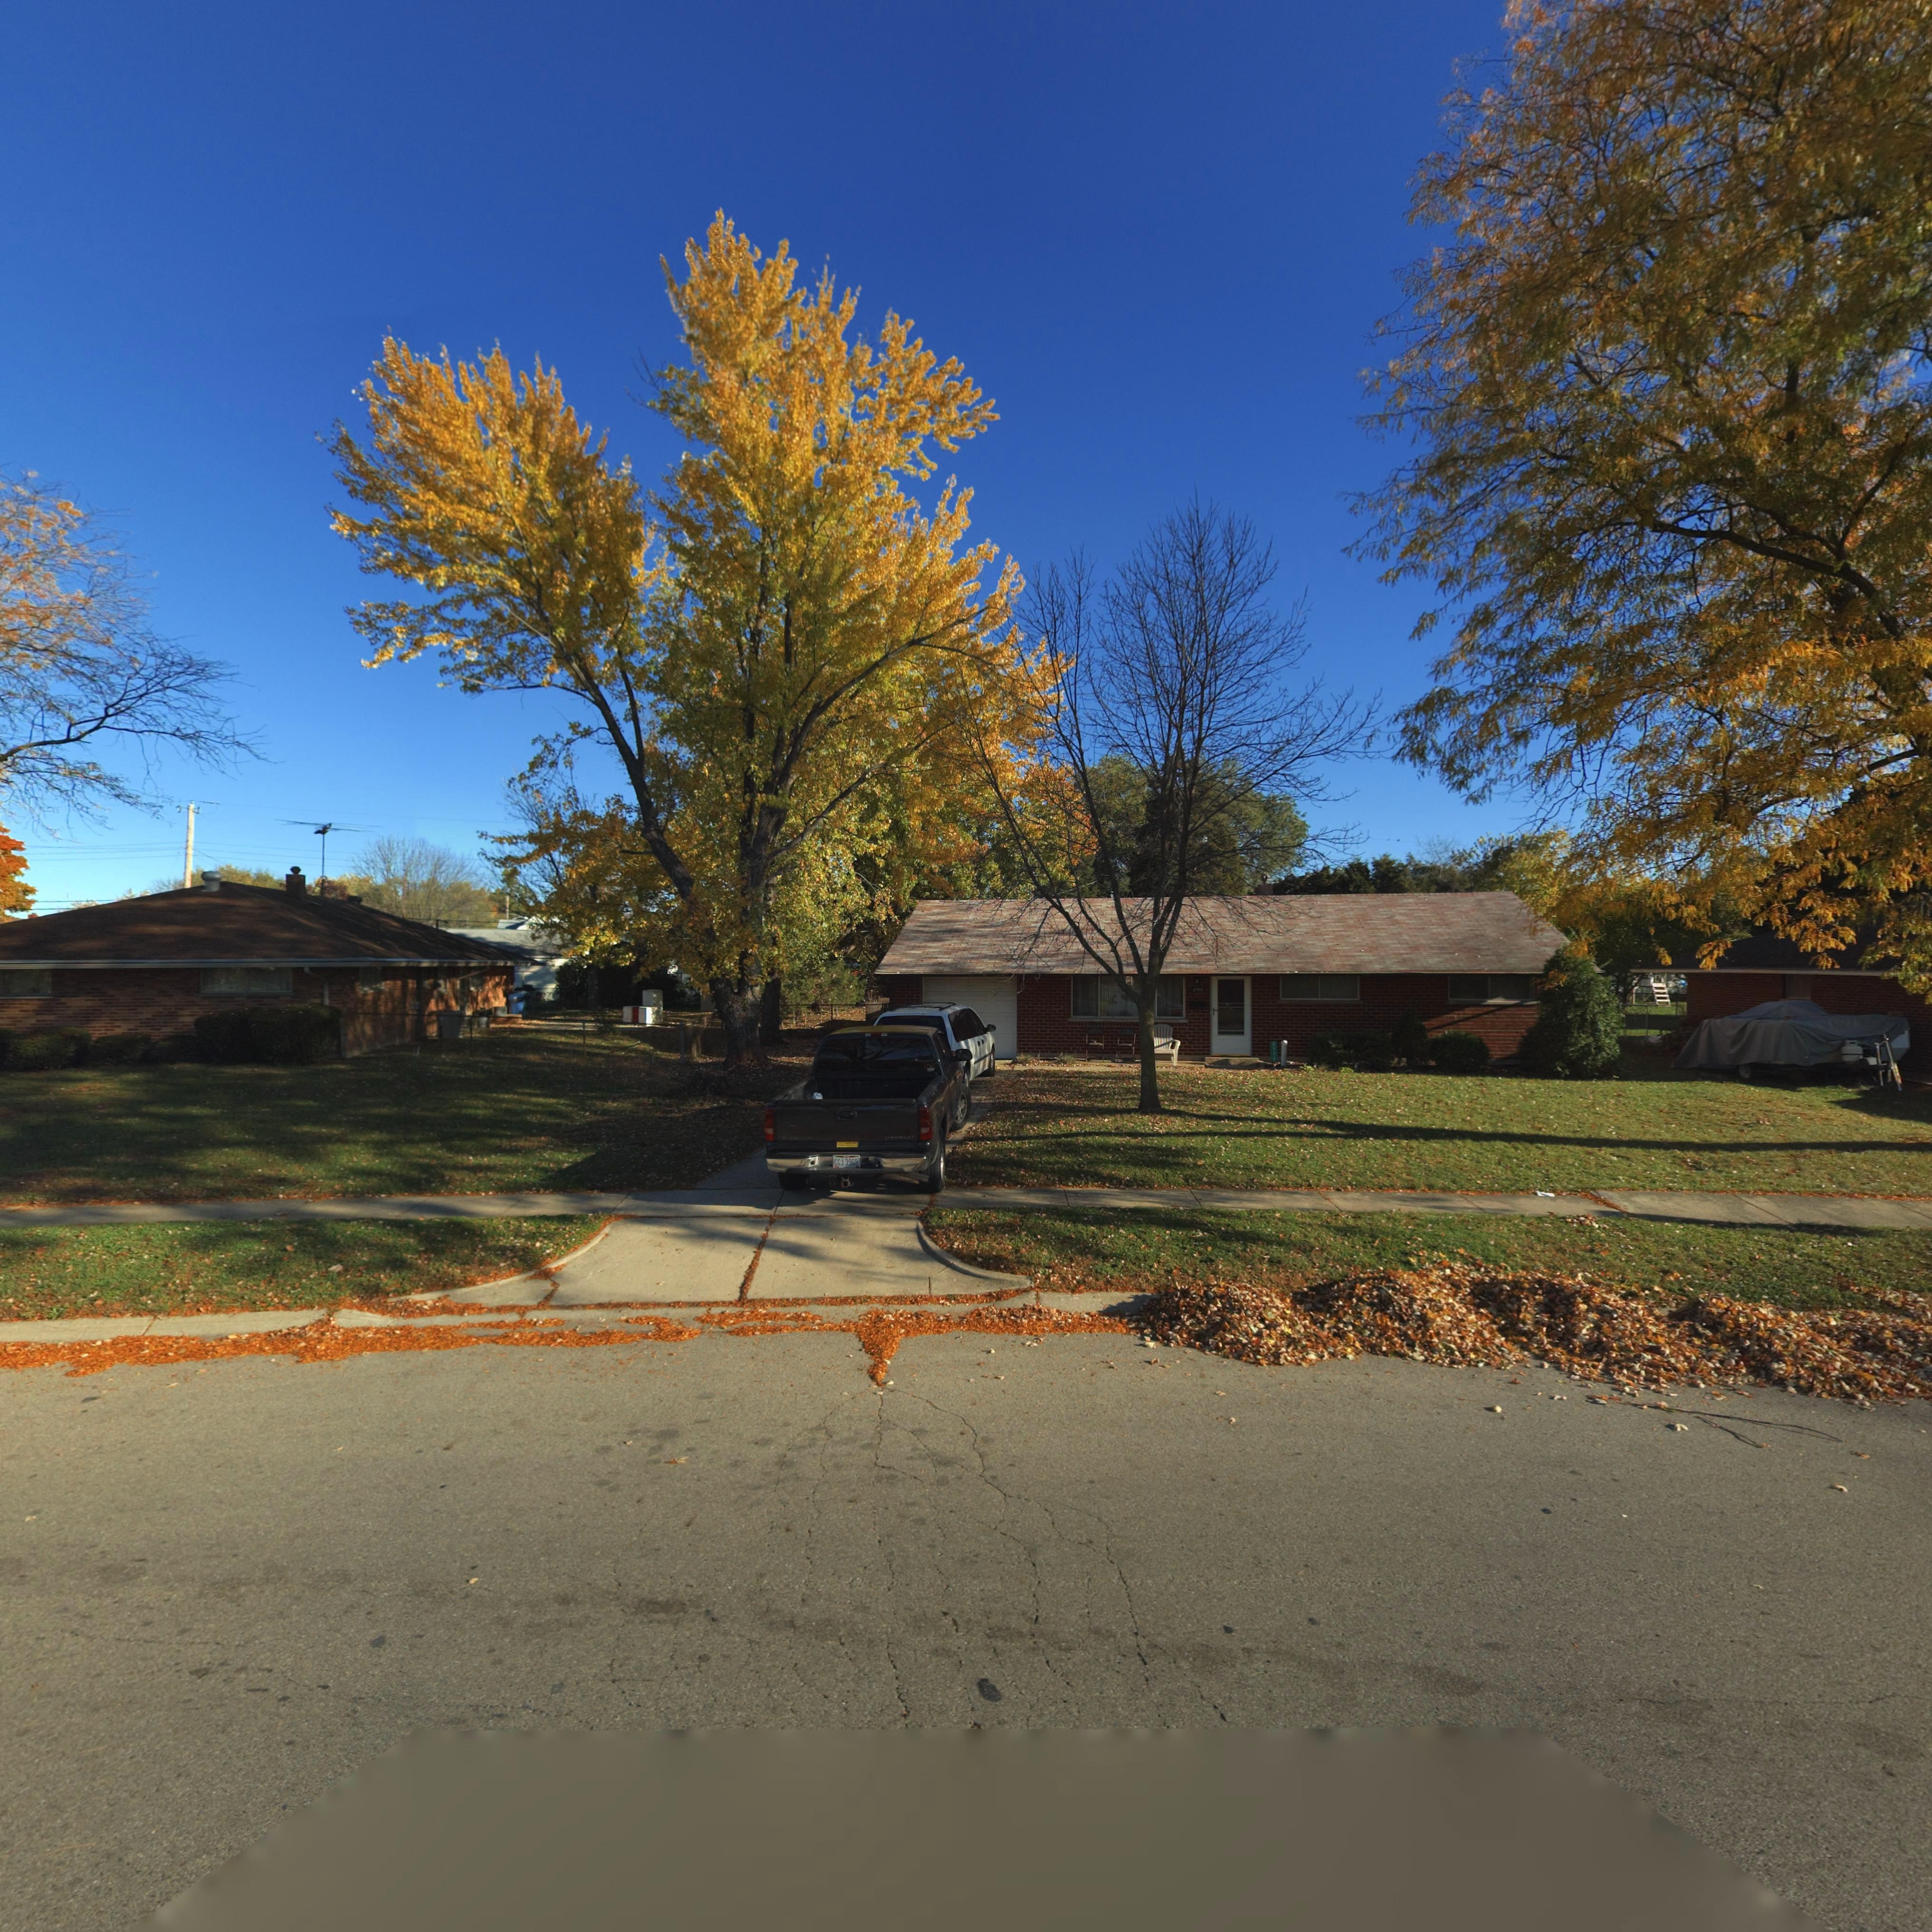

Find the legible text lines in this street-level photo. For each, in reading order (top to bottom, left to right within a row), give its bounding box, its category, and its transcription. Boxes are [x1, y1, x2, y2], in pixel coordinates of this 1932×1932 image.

[1192, 986, 1203, 993] StreetNumber: 2***